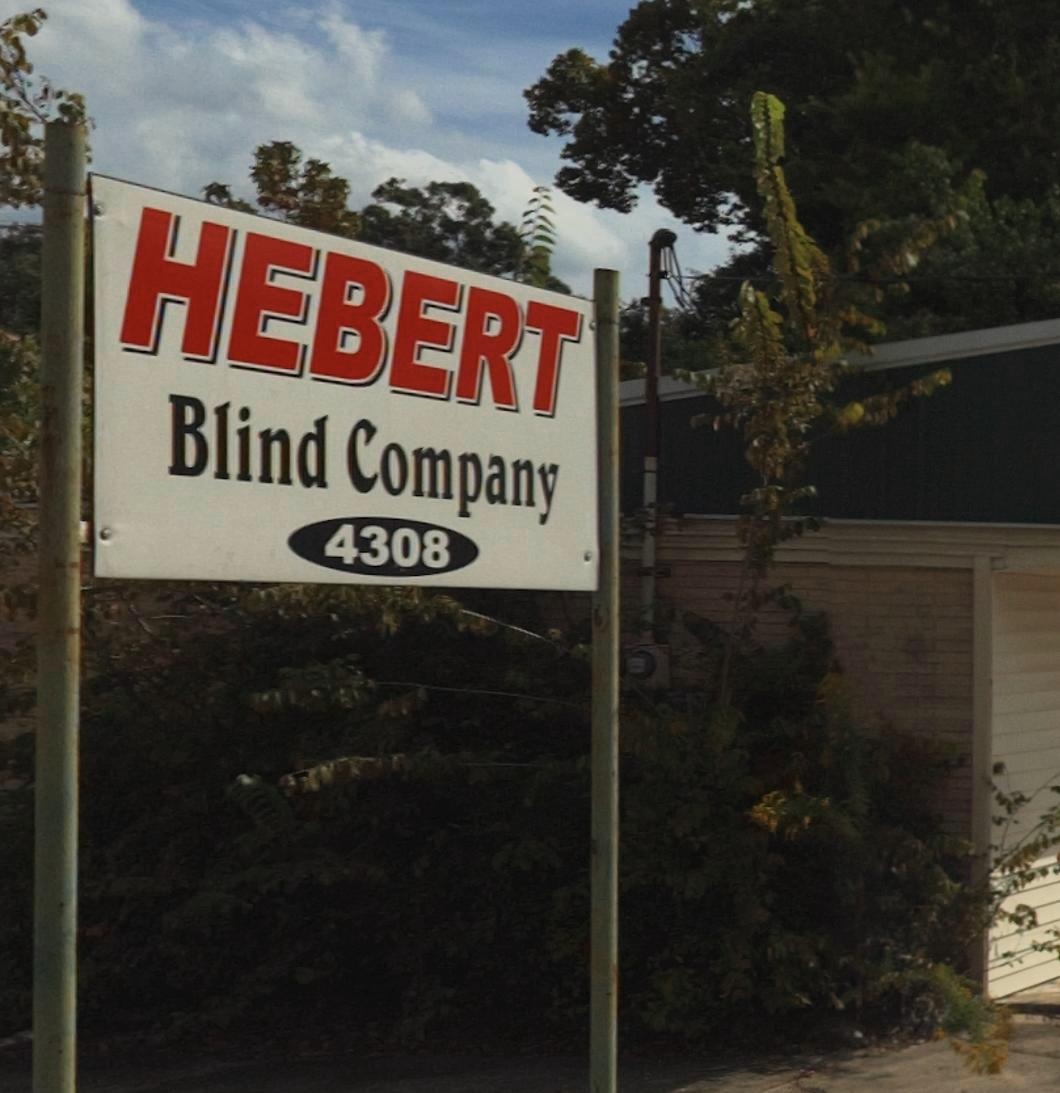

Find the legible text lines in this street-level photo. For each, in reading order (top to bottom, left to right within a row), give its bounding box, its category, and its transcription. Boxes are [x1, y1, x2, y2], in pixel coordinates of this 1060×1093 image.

[106, 197, 590, 425] BusinessName: HEBERT
[160, 385, 572, 536] BusinessName: Blind Company
[322, 520, 454, 571] StreetNumber: 4308